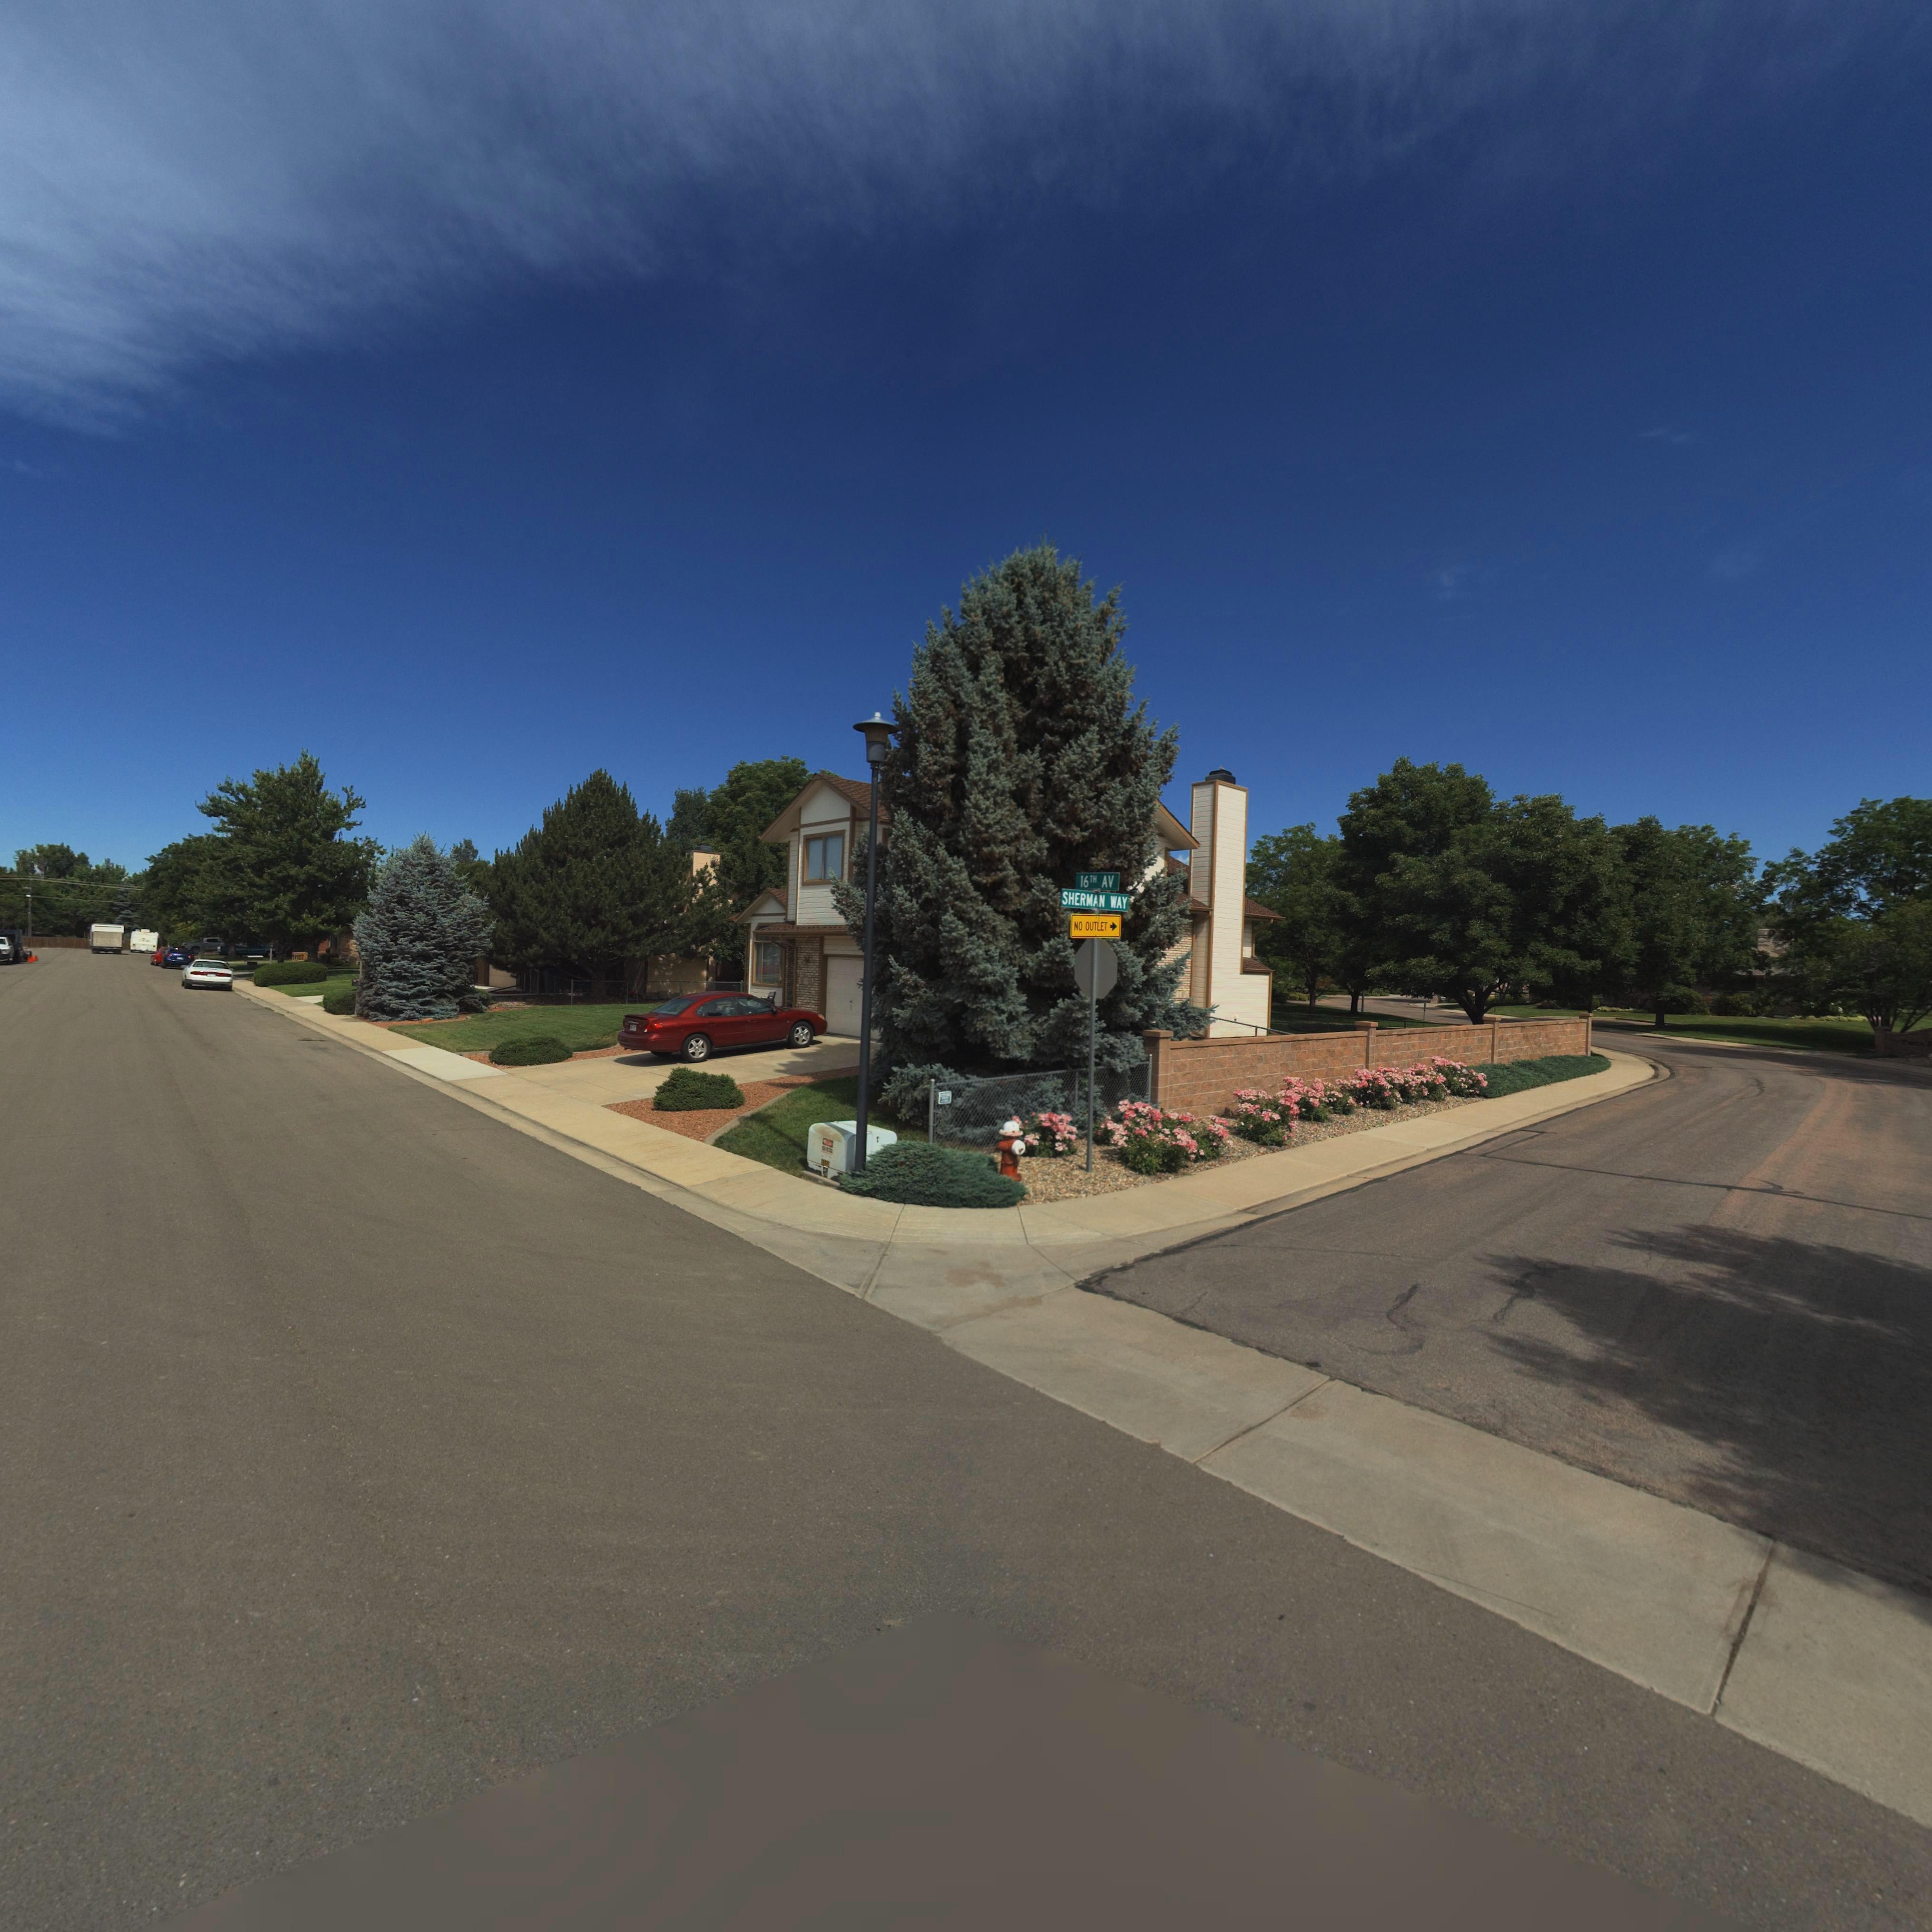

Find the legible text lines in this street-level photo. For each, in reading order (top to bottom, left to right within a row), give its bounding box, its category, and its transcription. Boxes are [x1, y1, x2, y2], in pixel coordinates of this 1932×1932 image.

[1080, 875, 1114, 888] StreetName: 16TH AV
[1061, 891, 1128, 909] StreetName: SHERMAN WAY